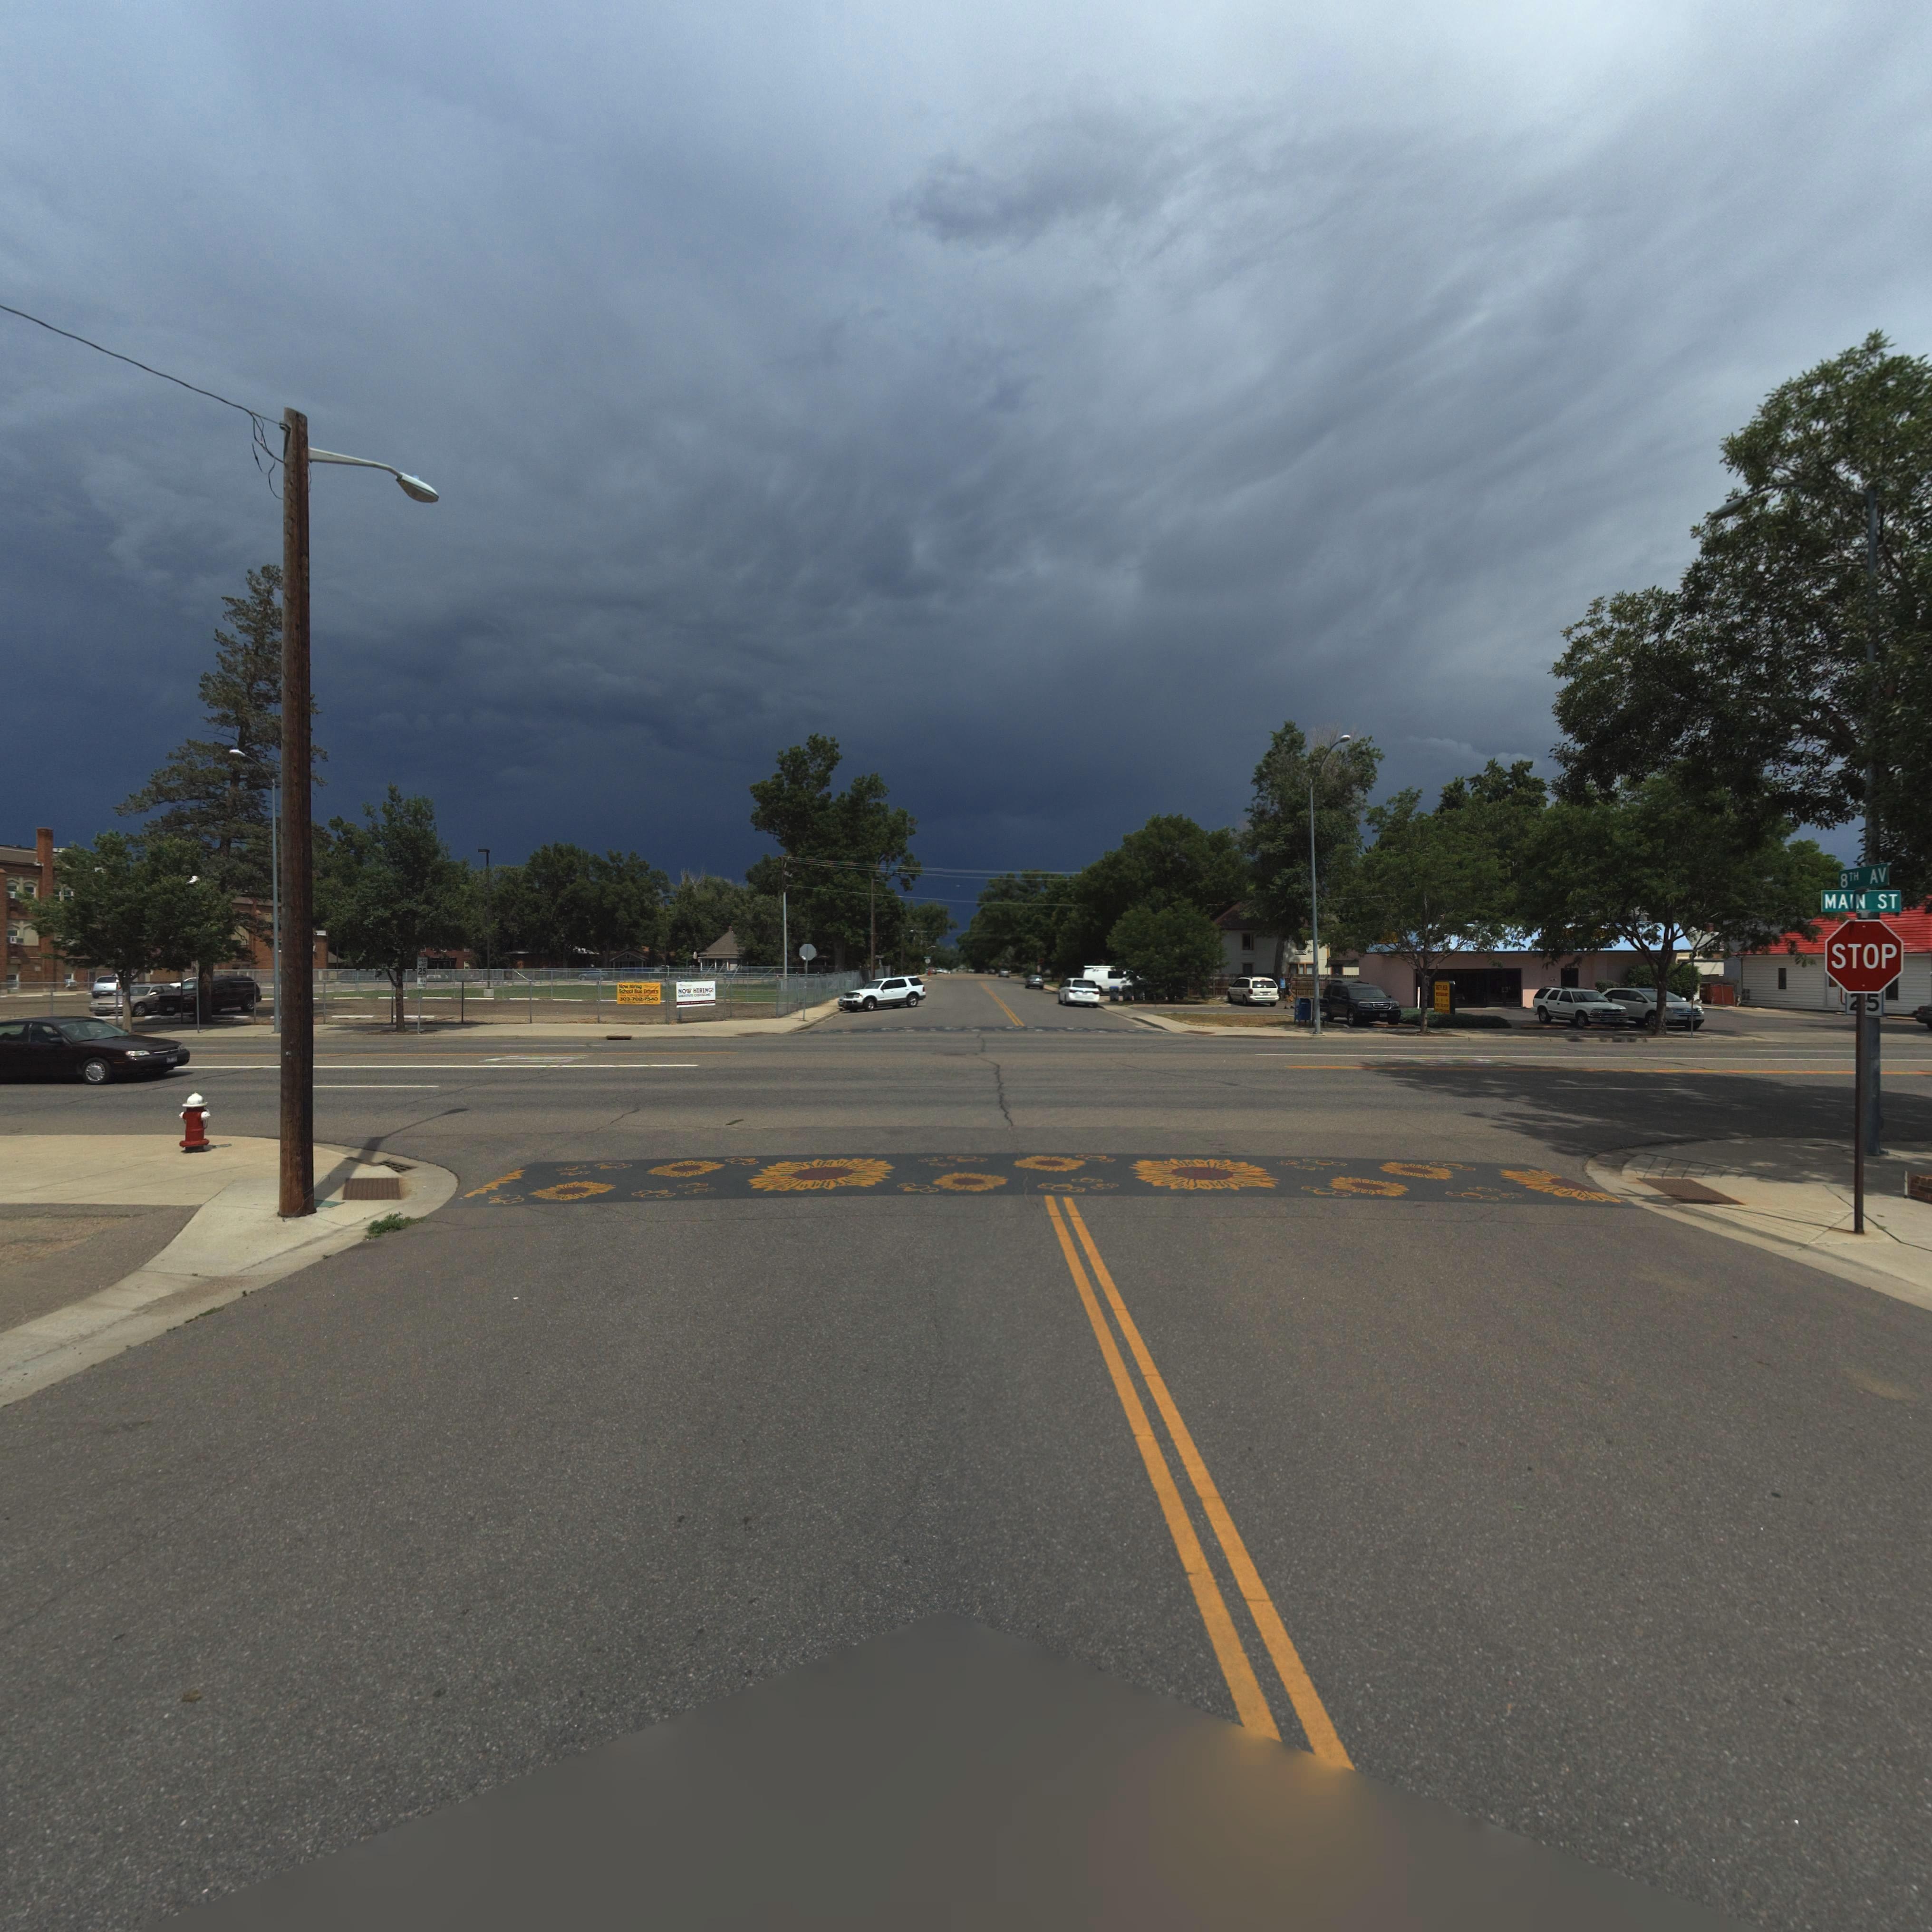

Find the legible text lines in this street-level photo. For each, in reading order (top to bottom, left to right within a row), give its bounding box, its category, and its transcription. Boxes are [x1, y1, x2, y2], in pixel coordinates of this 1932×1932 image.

[1840, 866, 1887, 889] StreetName: 8TH AV
[1824, 893, 1898, 909] StreetName: MAIN ST
[1434, 984, 1448, 991] BusinessName: TASTY ASIA
[1435, 991, 1449, 996] BusinessName: RESTAURANT